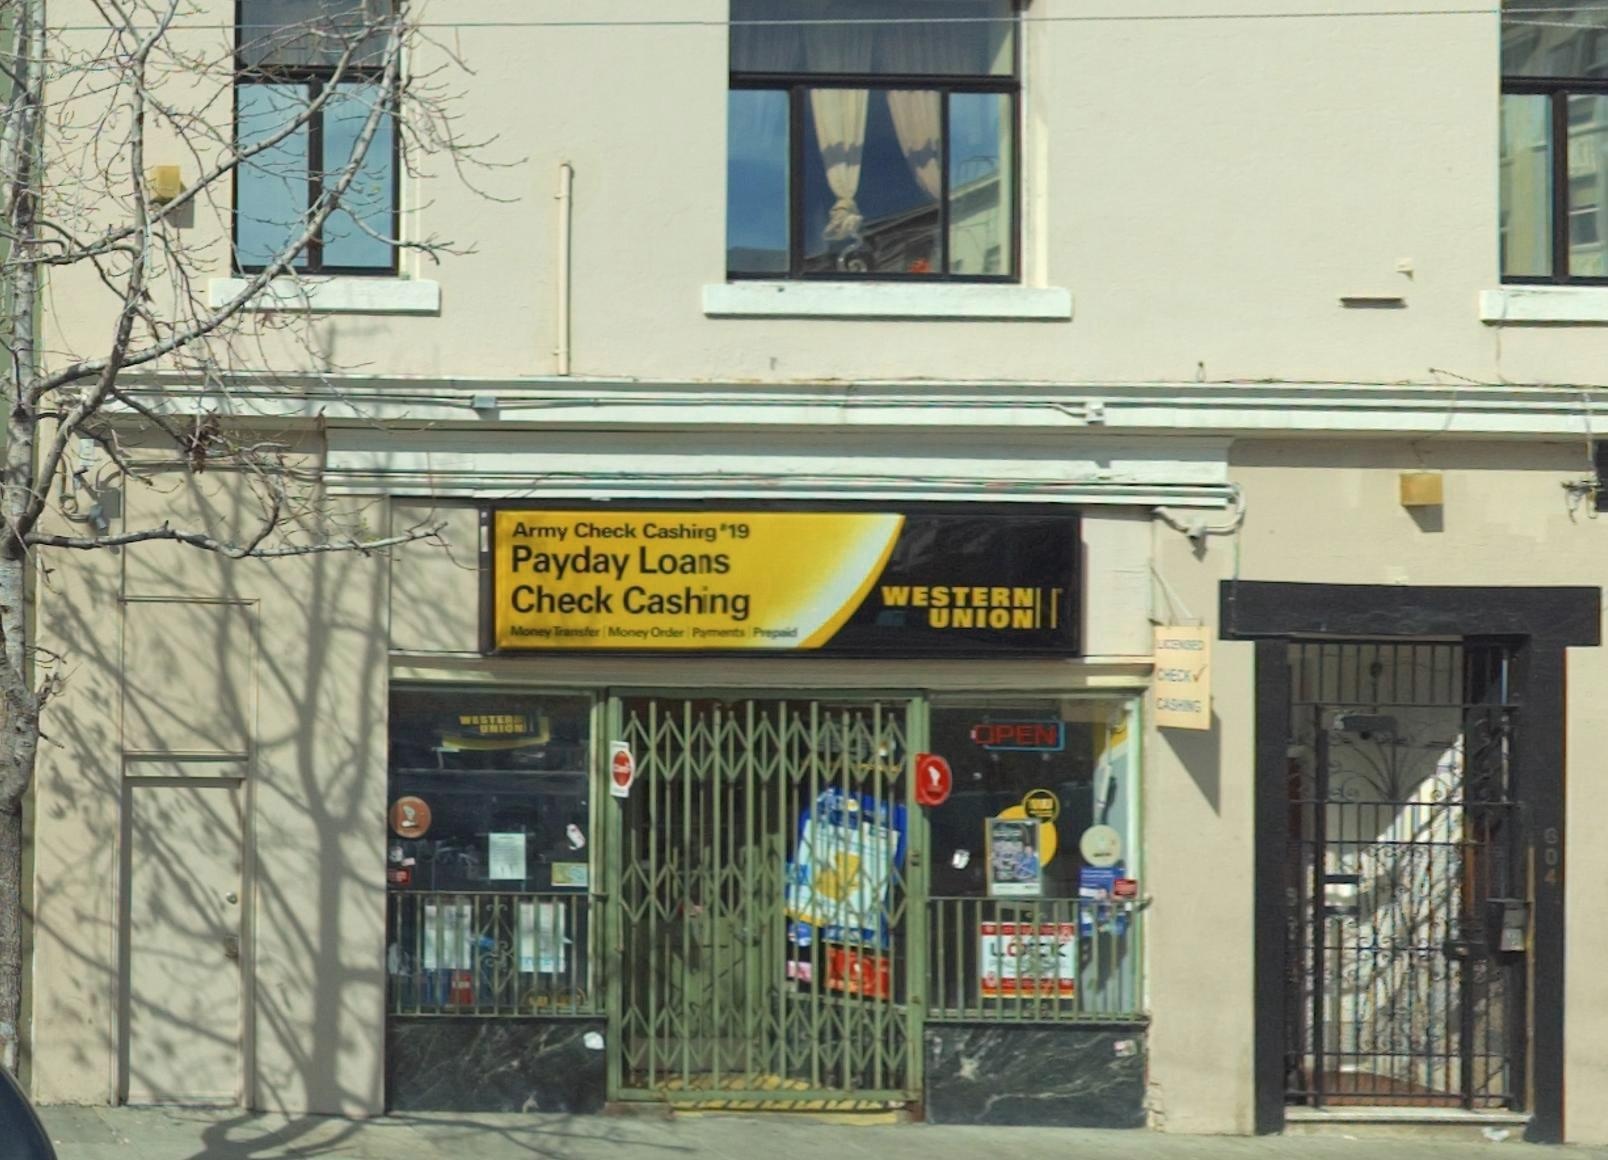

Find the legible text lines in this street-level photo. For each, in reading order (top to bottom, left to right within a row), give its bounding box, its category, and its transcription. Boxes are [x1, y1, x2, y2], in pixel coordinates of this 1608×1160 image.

[506, 518, 753, 545] None: Army Check Cashi*g *19
[510, 541, 734, 583] None: Payday Loa*s
[509, 580, 753, 624] None: Check Cash*ng
[877, 583, 1036, 610] BusinessName: WESTERN
[927, 607, 1036, 631] BusinessName: UNION
[1153, 666, 1195, 686] None: CHECK
[1152, 694, 1205, 718] None: CASH**G
[455, 712, 528, 728] BusinessName: WESTER*
[478, 722, 526, 737] BusinessName: UNION
[968, 722, 1060, 748] None: OPEN
[1537, 823, 1563, 891] StreetNumber: 604